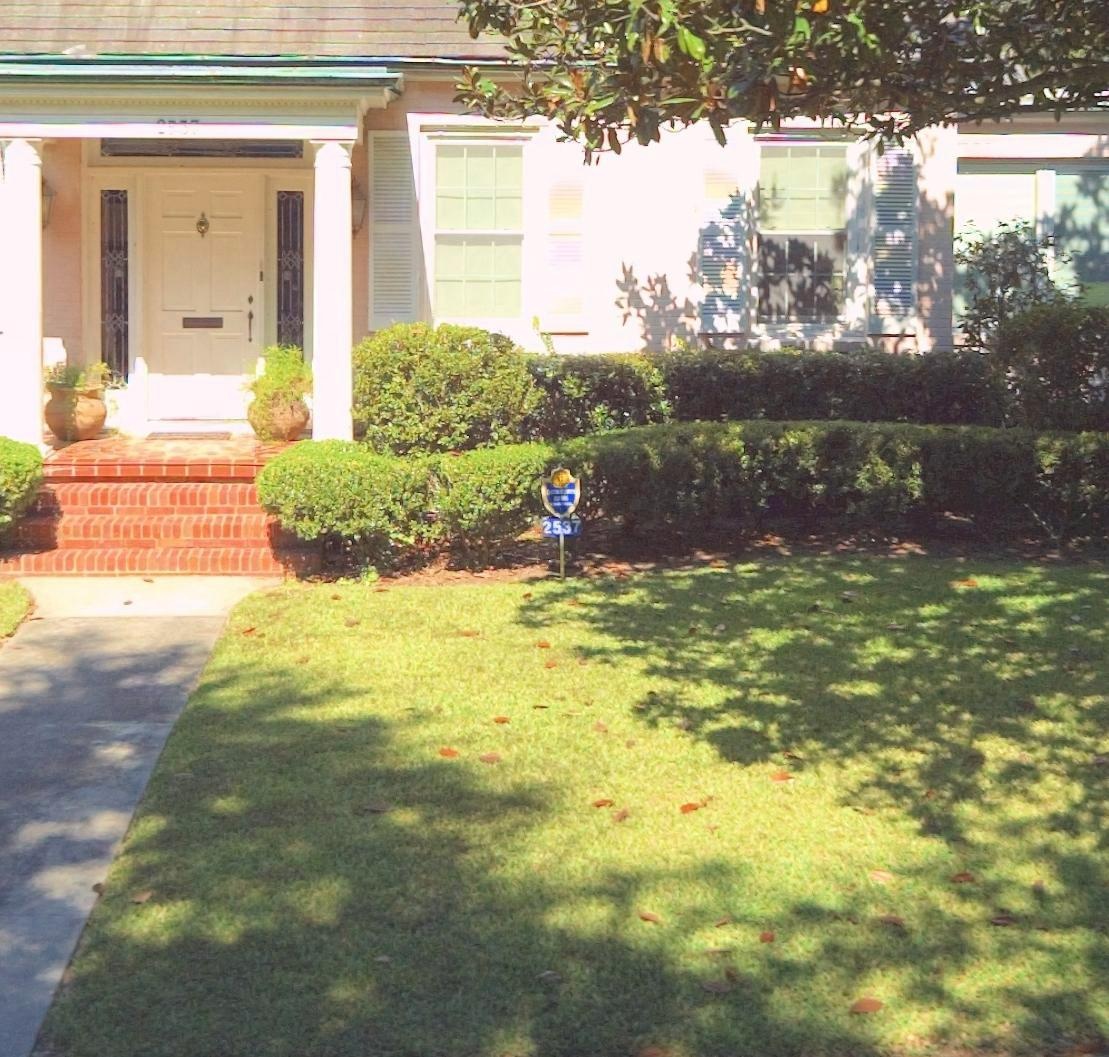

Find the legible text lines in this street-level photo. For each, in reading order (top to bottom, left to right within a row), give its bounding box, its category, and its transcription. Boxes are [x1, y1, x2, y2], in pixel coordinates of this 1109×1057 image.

[541, 518, 583, 536] StreetNumber: 2537